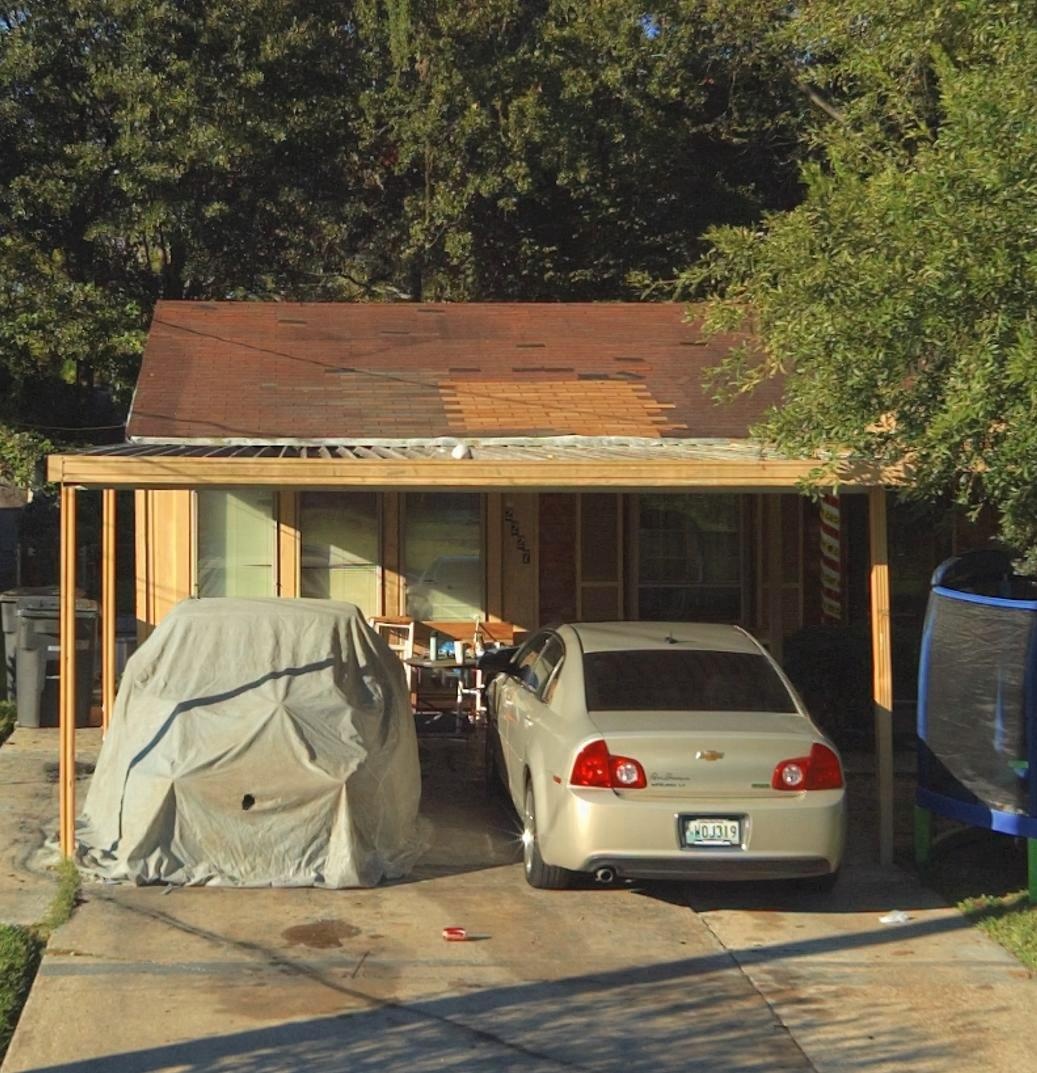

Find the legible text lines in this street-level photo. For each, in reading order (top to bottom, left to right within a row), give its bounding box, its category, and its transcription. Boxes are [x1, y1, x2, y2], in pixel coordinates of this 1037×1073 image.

[505, 507, 530, 564] StreetNumber: 2227
[693, 824, 737, 839] None: WOJ319